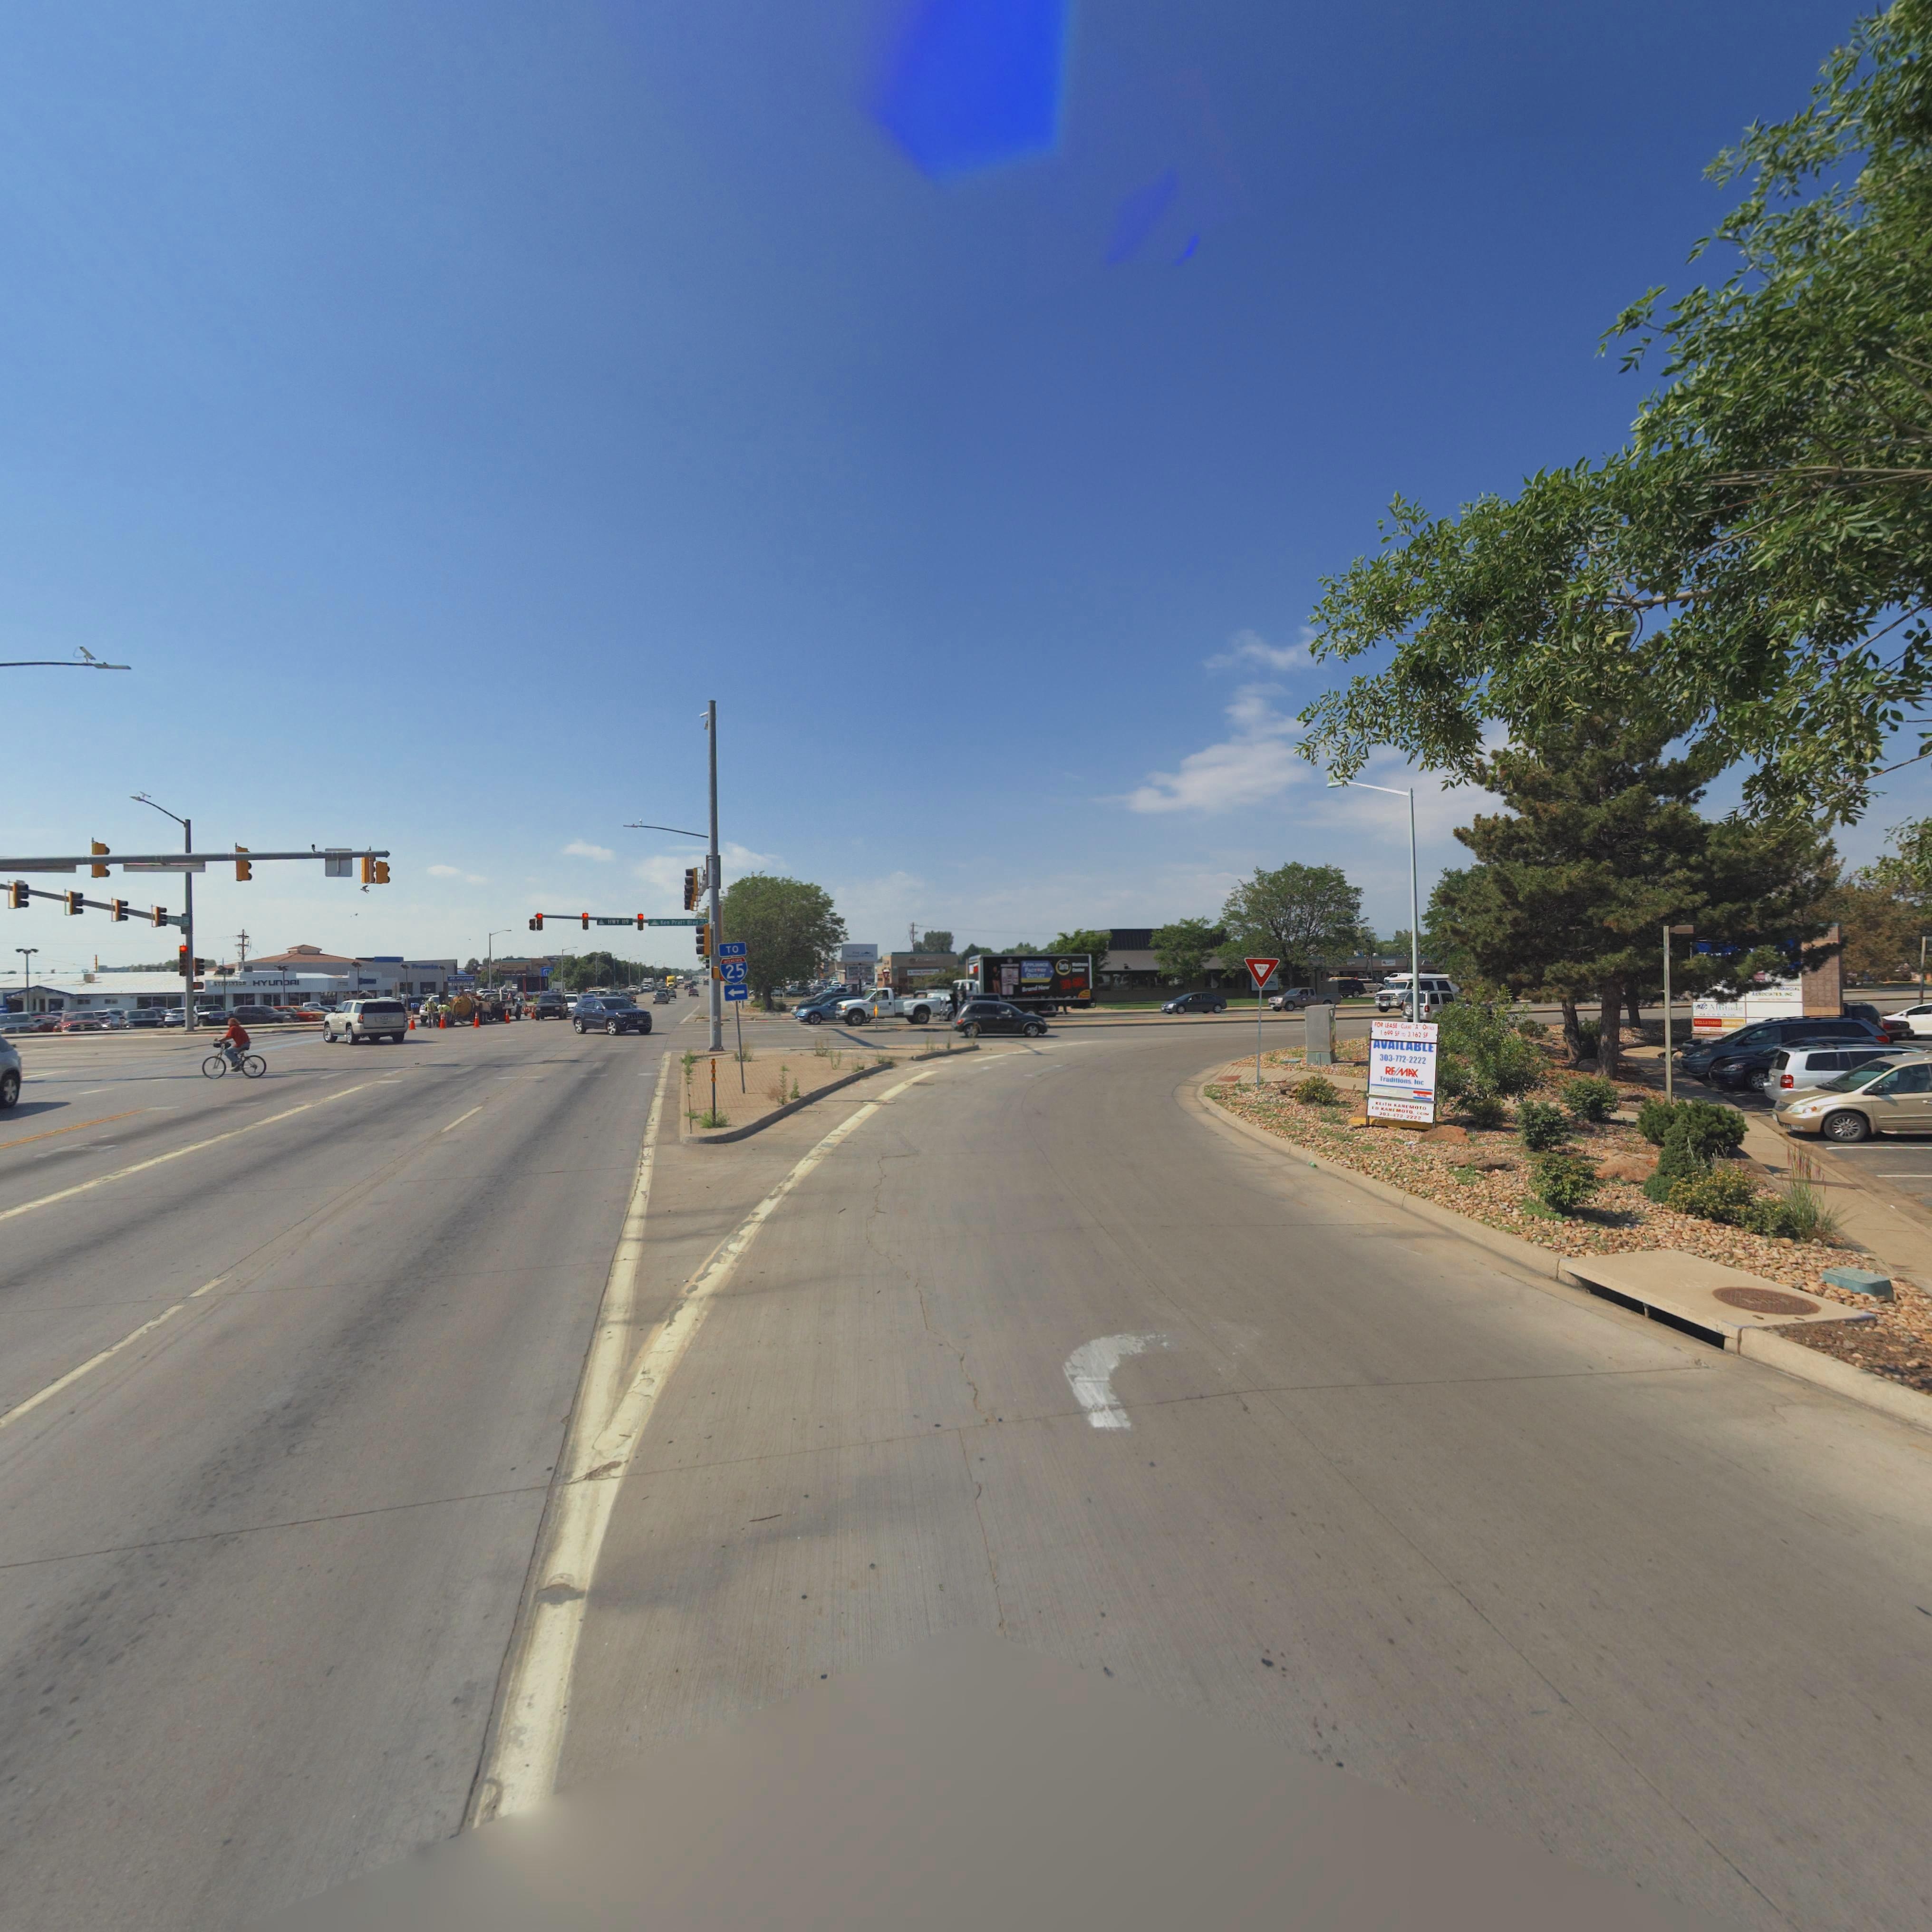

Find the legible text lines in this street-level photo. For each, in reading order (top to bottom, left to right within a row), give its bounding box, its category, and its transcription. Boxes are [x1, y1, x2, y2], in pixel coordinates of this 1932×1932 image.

[608, 918, 629, 924] StreetName: HWY 119
[660, 919, 698, 925] StreetName: Ken Pratt Blvd
[852, 951, 860, 954] BusinessName: First
[846, 954, 873, 957] BusinessName: National DENVER
[411, 963, 439, 970] BusinessName: Frontie*
[456, 977, 473, 980] BusinessName: HYUNDAI
[213, 979, 299, 986] BusinessName: STE*INSON HYNDAI
[451, 981, 472, 986] BusinessName: STEVINSON
[1770, 986, 1800, 990] BusinessName: ****CIAL
[1751, 992, 1793, 996] BusinessName: ASSOCIATES, INC.
[1708, 1002, 1743, 1011] BusinessName: Altitude
[1699, 1013, 1736, 1017] BusinessName: MASSAGE
[1693, 1020, 1744, 1025] BusinessName: WELLS FARGO ADVISORS